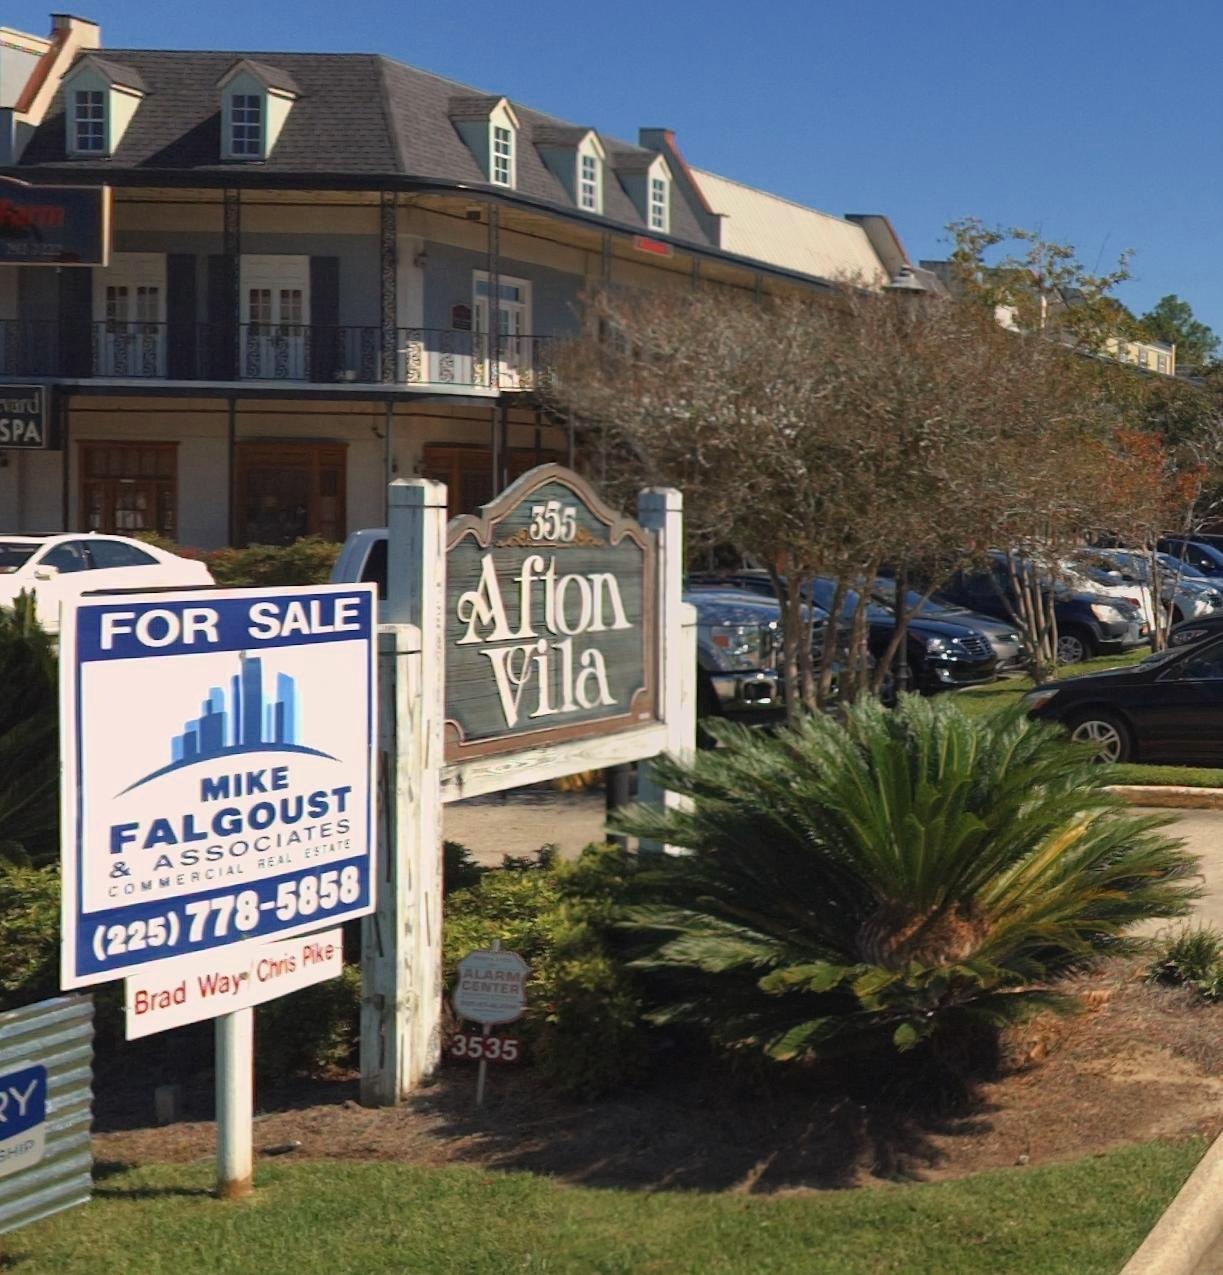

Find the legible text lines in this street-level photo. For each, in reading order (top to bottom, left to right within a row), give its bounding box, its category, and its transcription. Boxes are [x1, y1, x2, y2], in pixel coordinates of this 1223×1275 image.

[5, 199, 68, 231] BusinessName: arm
[25, 387, 43, 416] None: d
[0, 416, 43, 445] BusinessName: SPA
[527, 494, 580, 547] StreetNumber: 355
[92, 592, 365, 656] None: FOR SALE
[451, 548, 640, 650] BusinessName: Afton
[472, 633, 627, 736] BusinessName: Vila
[196, 761, 294, 808] None: MIKE
[106, 836, 353, 901] None: COMMERCIAL REAL ESTATE
[105, 781, 357, 859] None: FALGOUST
[146, 814, 358, 877] None: ASSOCIATES
[104, 860, 365, 959] None: 225)778-5858
[131, 940, 336, 1021] None: Brad Way Chris Pike
[459, 978, 520, 996] None: CENTER
[458, 965, 523, 984] None: ALARM
[449, 1030, 520, 1063] None: 3535
[5, 1075, 43, 1118] None: Y
[5, 1134, 38, 1164] None: HI*